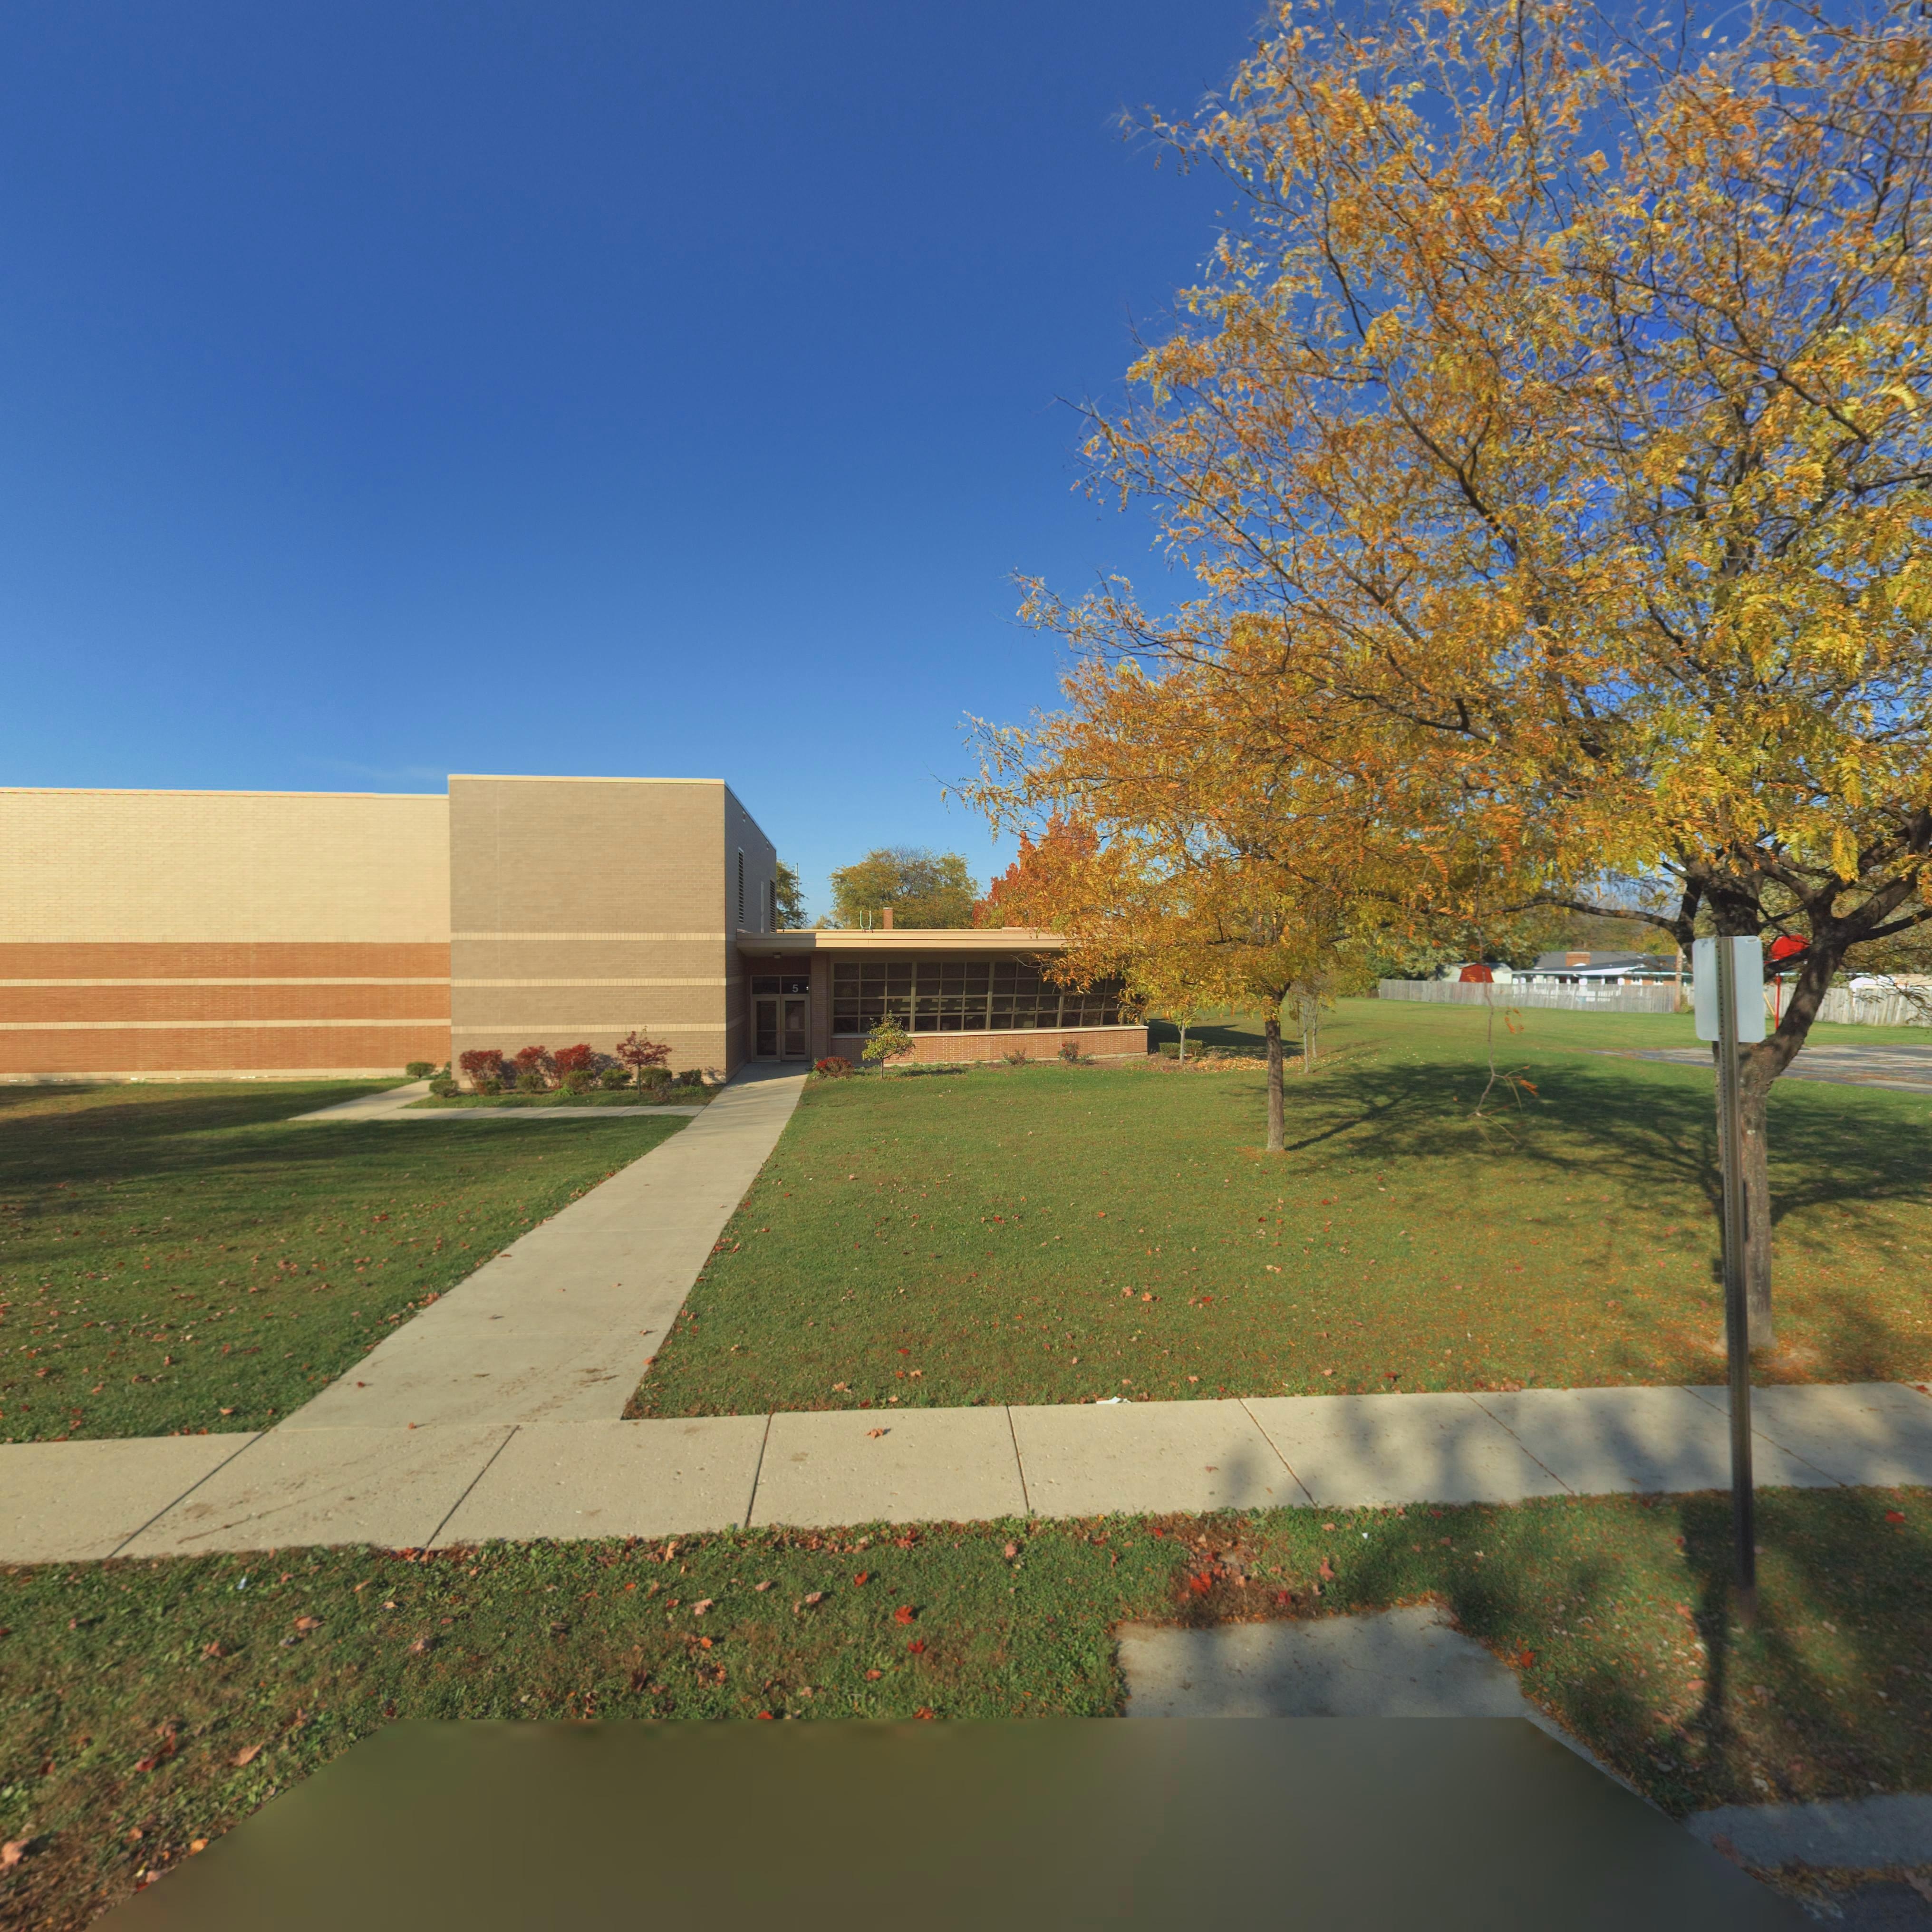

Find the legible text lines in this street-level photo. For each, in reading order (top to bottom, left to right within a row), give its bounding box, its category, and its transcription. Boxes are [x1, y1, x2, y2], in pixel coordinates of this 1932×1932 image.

[792, 984, 799, 993] StreetNumber: 5